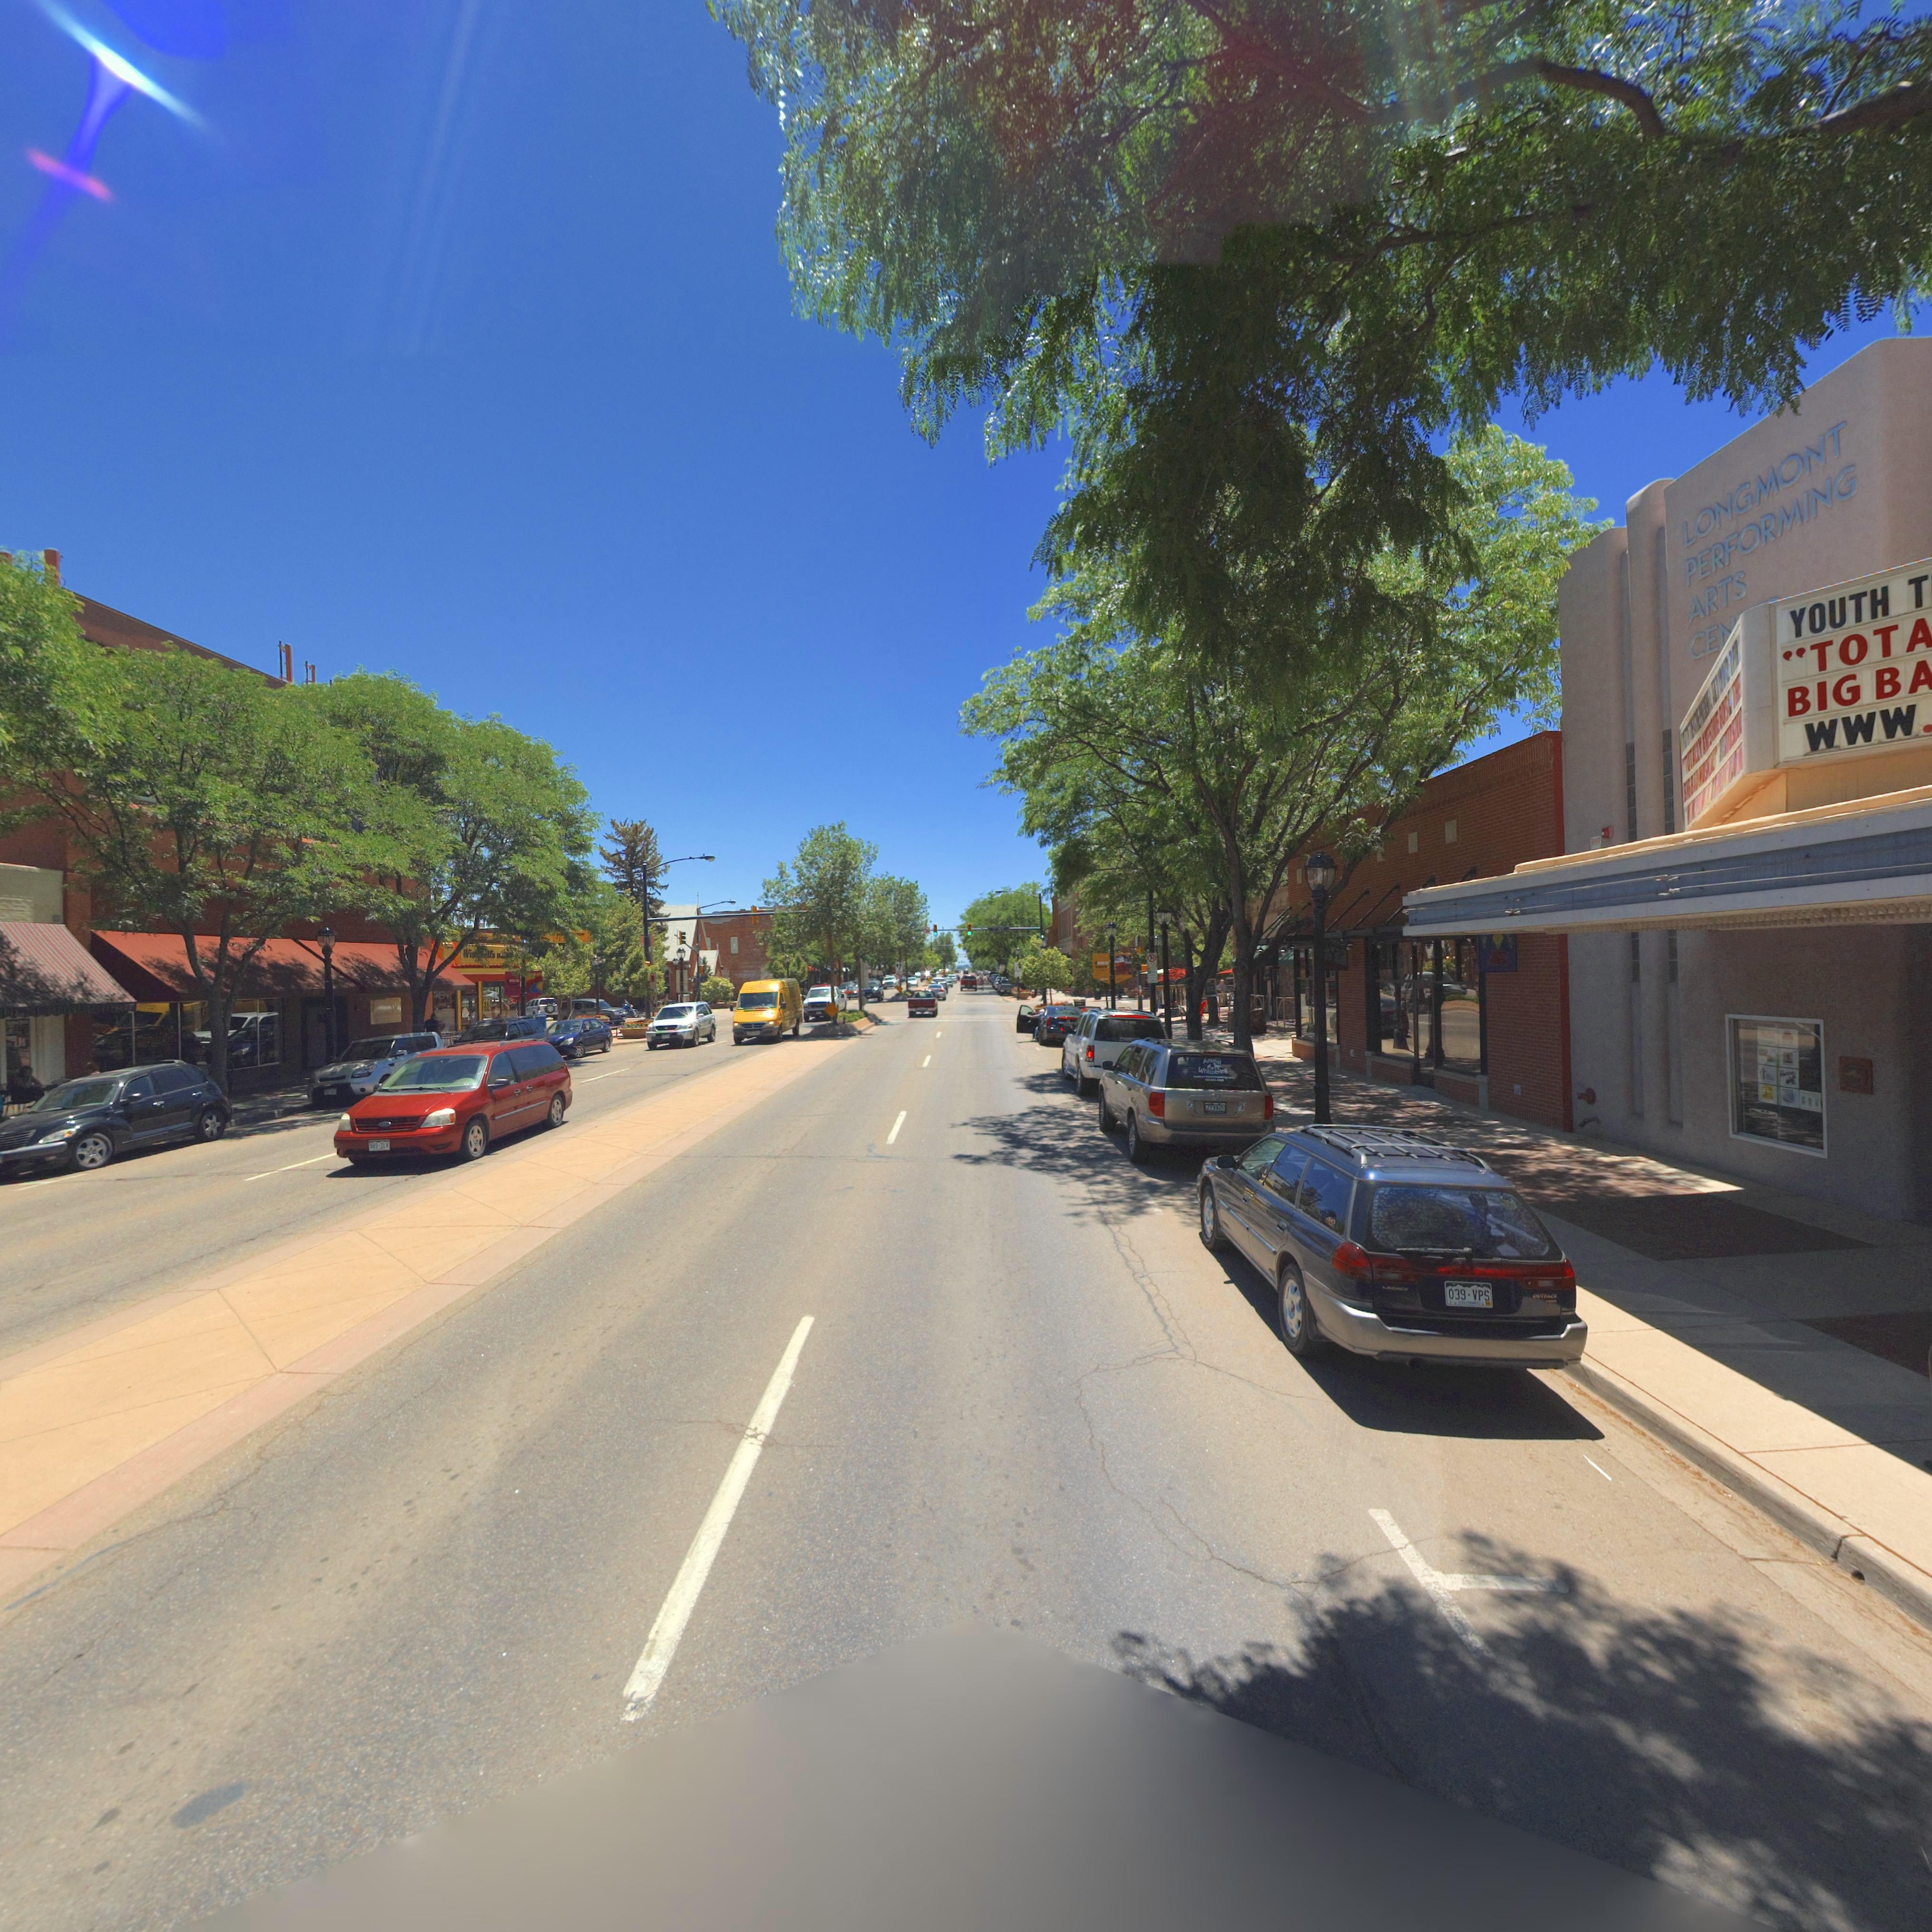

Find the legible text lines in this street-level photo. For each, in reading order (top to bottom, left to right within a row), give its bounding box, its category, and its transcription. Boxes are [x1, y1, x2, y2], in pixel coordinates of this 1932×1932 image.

[1681, 417, 1849, 551] BusinessName: LONGMONT
[1683, 463, 1857, 587] BusinessName: PERFORMING
[1687, 570, 1747, 625] BusinessName: ARTS
[1686, 622, 1719, 661] BusinessName: CE
[463, 947, 496, 958] BusinessName: Win*ell's